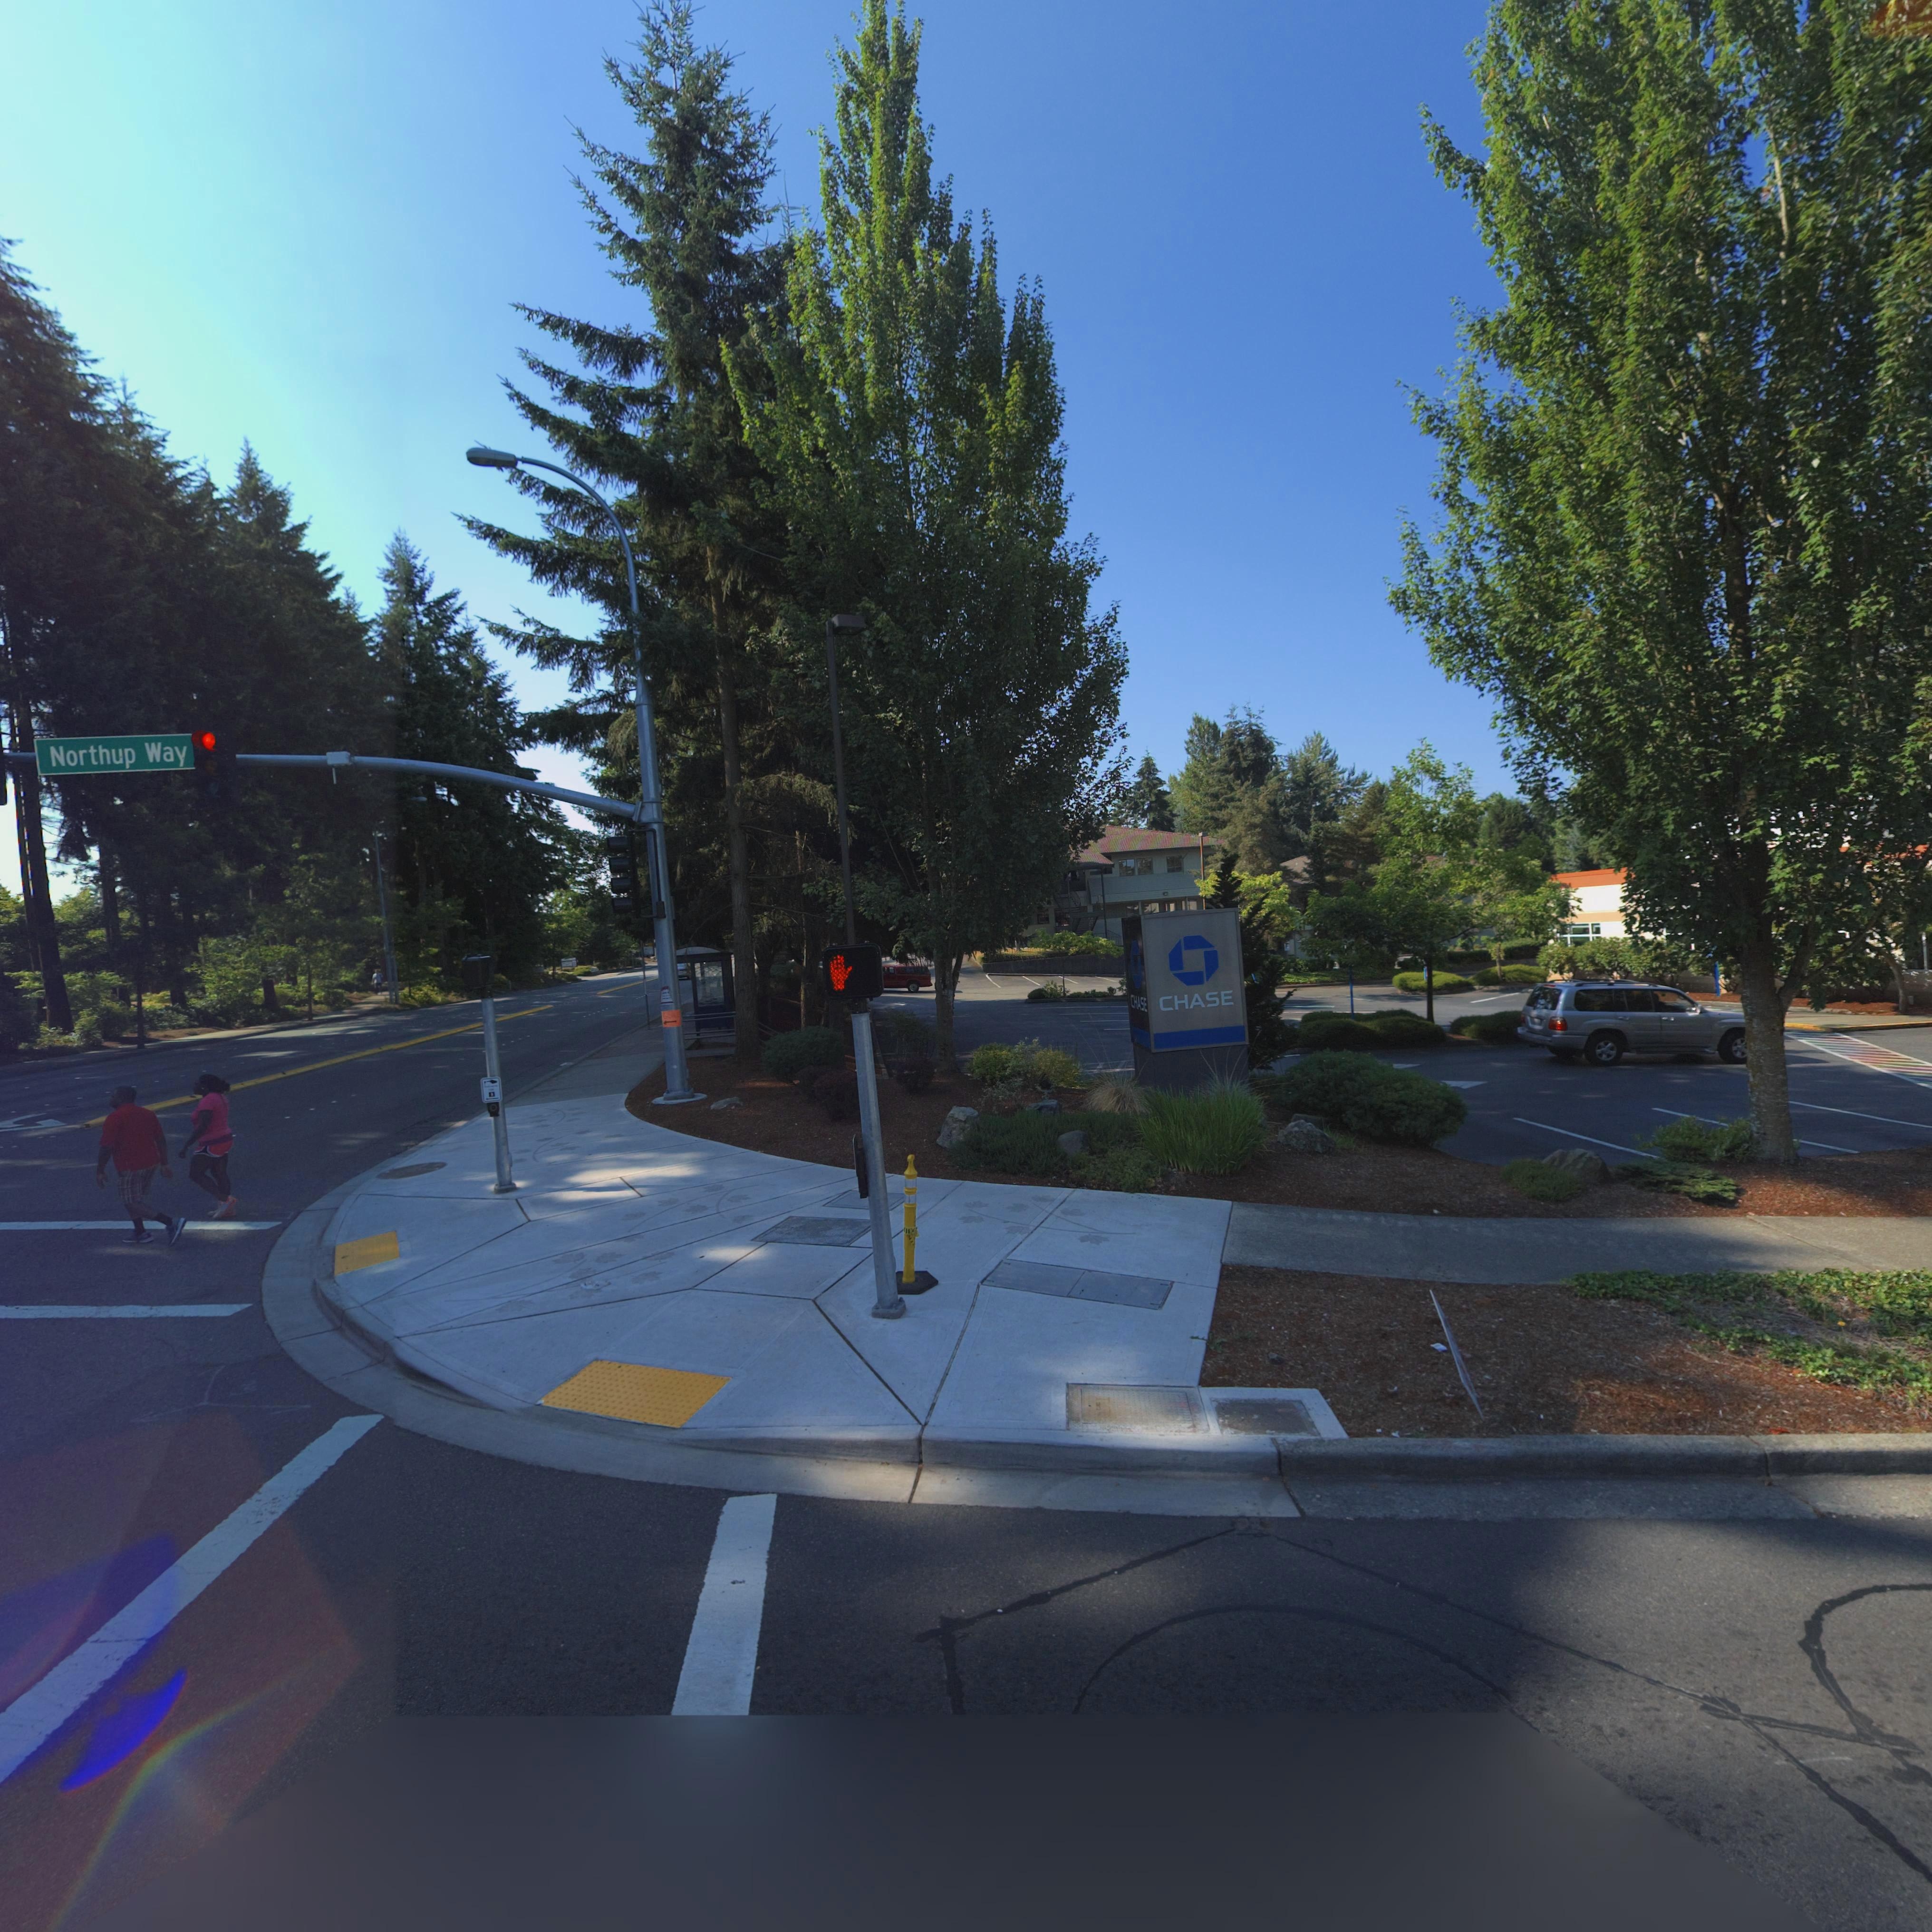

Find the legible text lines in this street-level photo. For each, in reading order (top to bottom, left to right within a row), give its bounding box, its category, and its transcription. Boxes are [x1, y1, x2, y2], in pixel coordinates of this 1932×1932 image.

[49, 741, 188, 770] StreetName: Northup Way
[1130, 995, 1147, 1012] BusinessName: CHASE
[1159, 990, 1234, 1011] BusinessName: CHASE